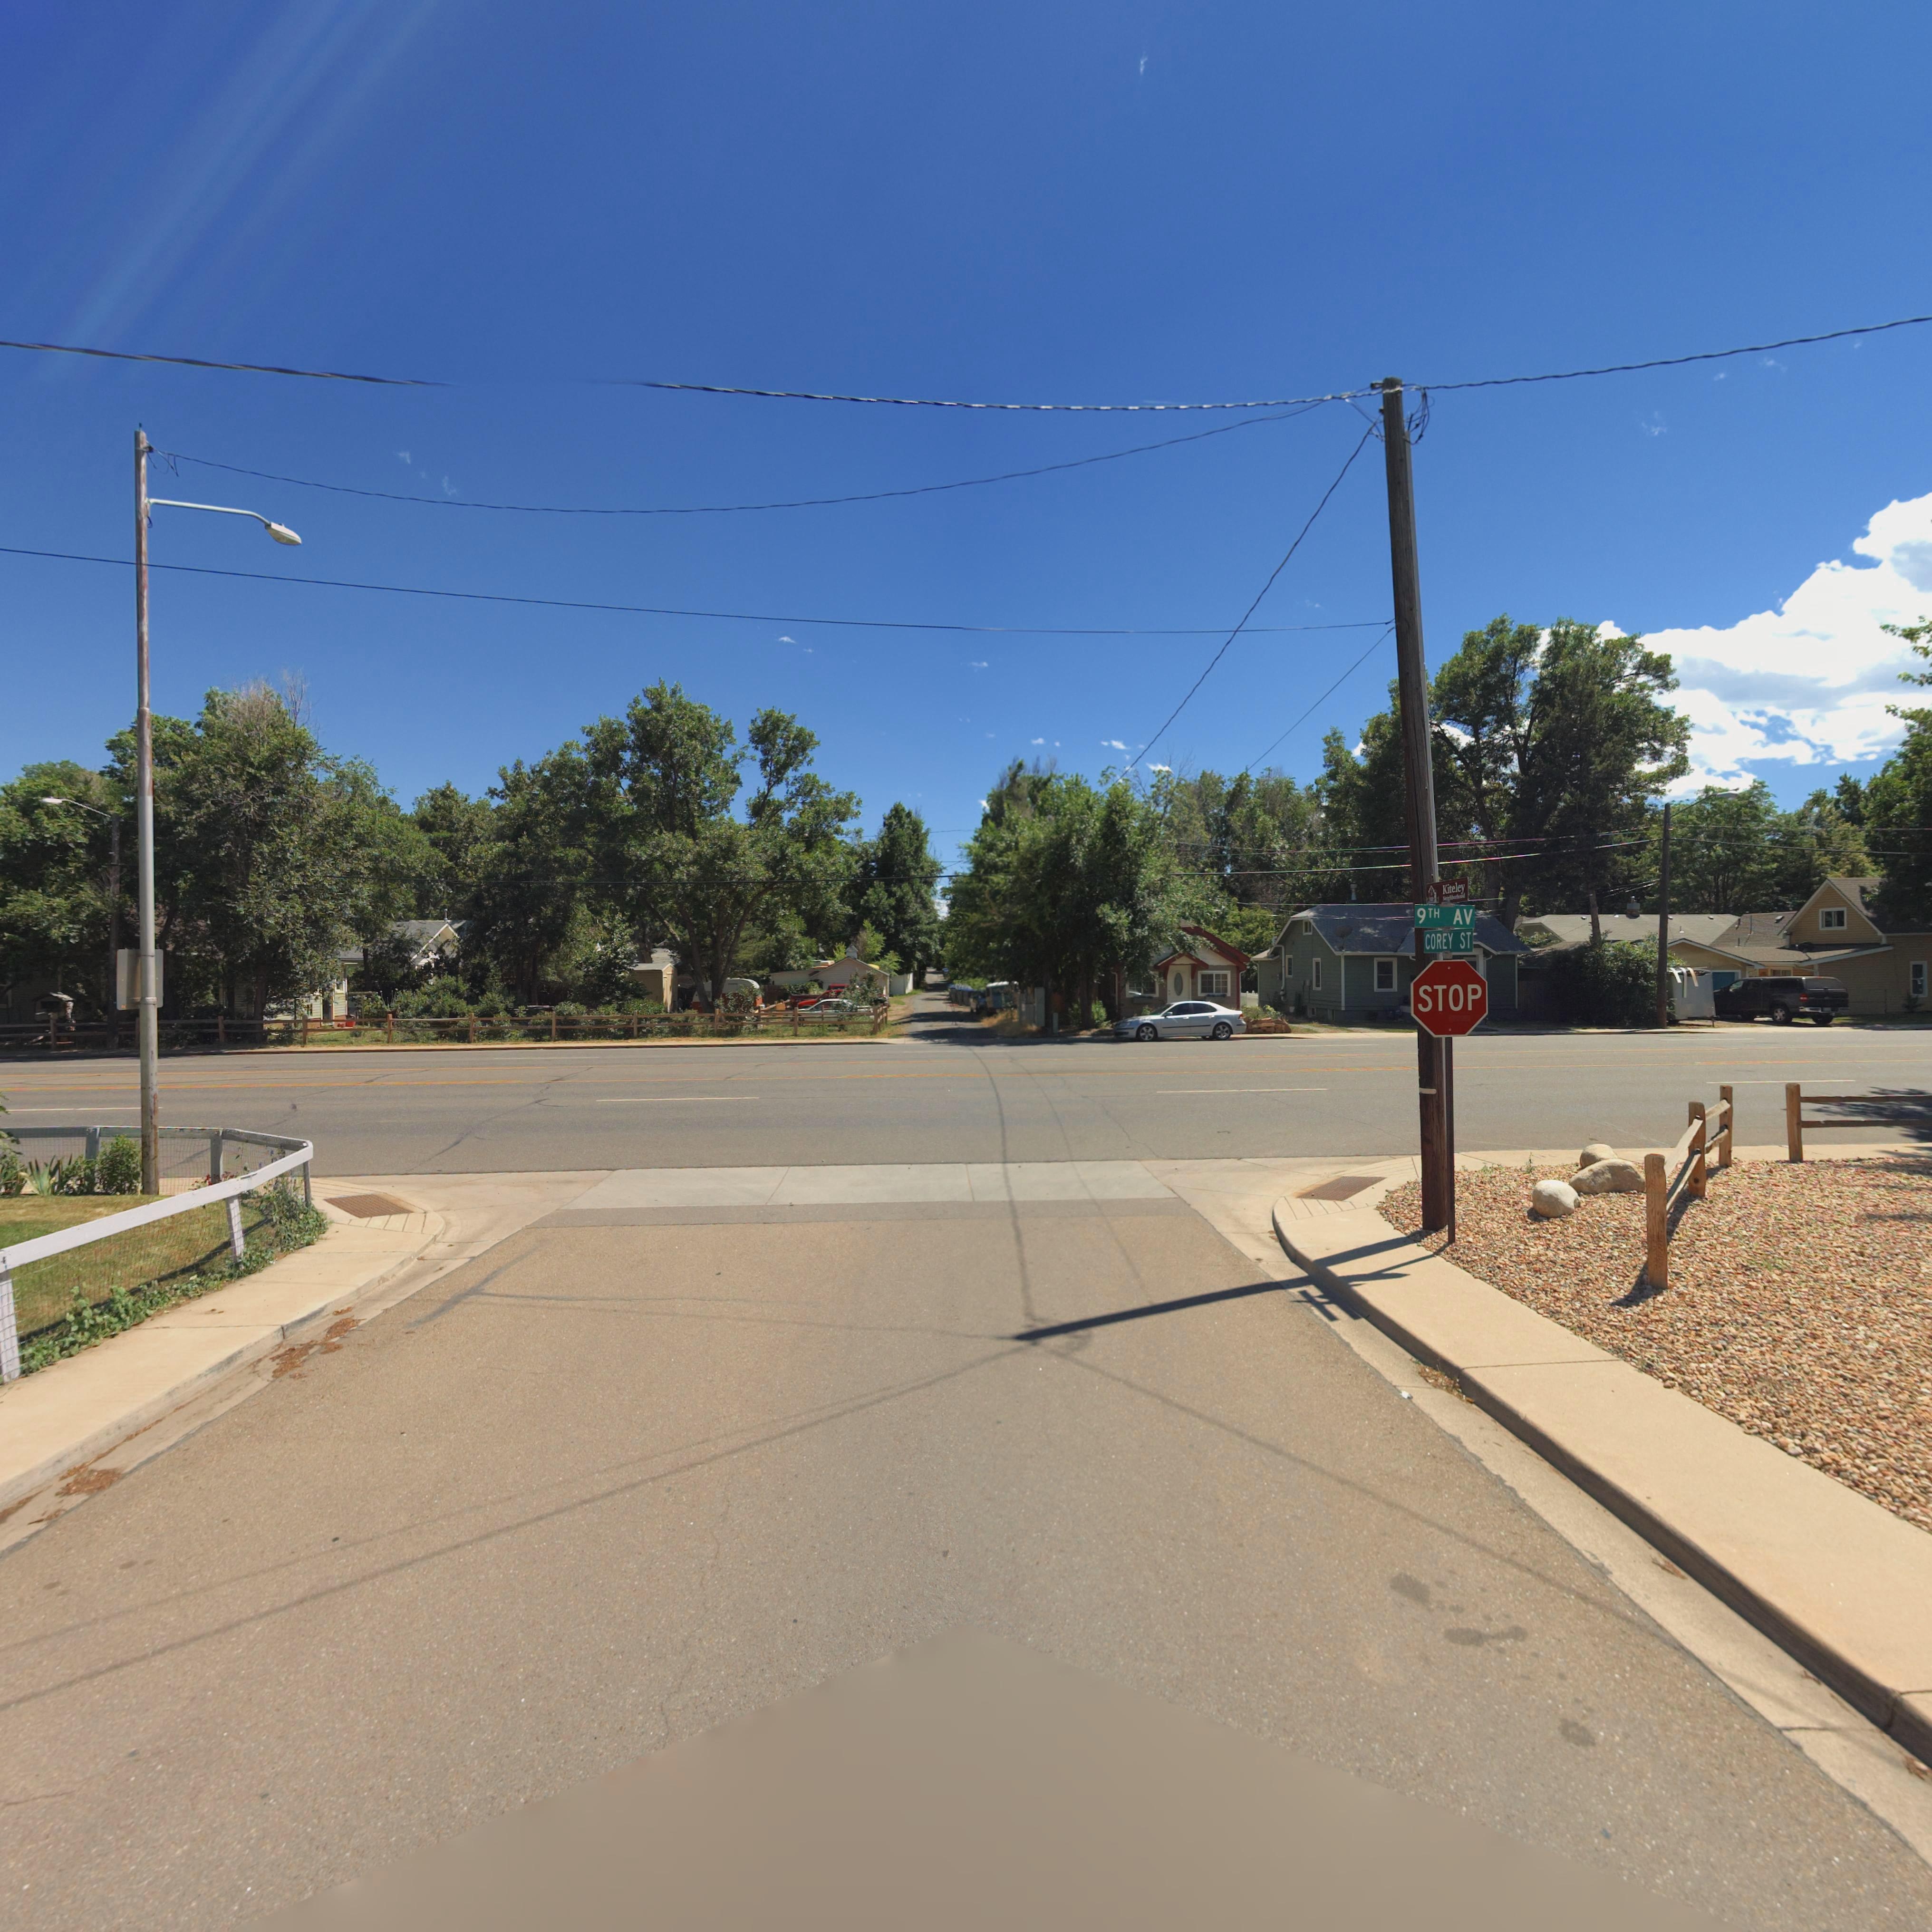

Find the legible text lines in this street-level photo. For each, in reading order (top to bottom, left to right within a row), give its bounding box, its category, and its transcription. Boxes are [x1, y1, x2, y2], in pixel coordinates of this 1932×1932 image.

[1416, 907, 1473, 925] StreetName: 9TH AV
[1425, 931, 1471, 950] StreetName: COREY ST